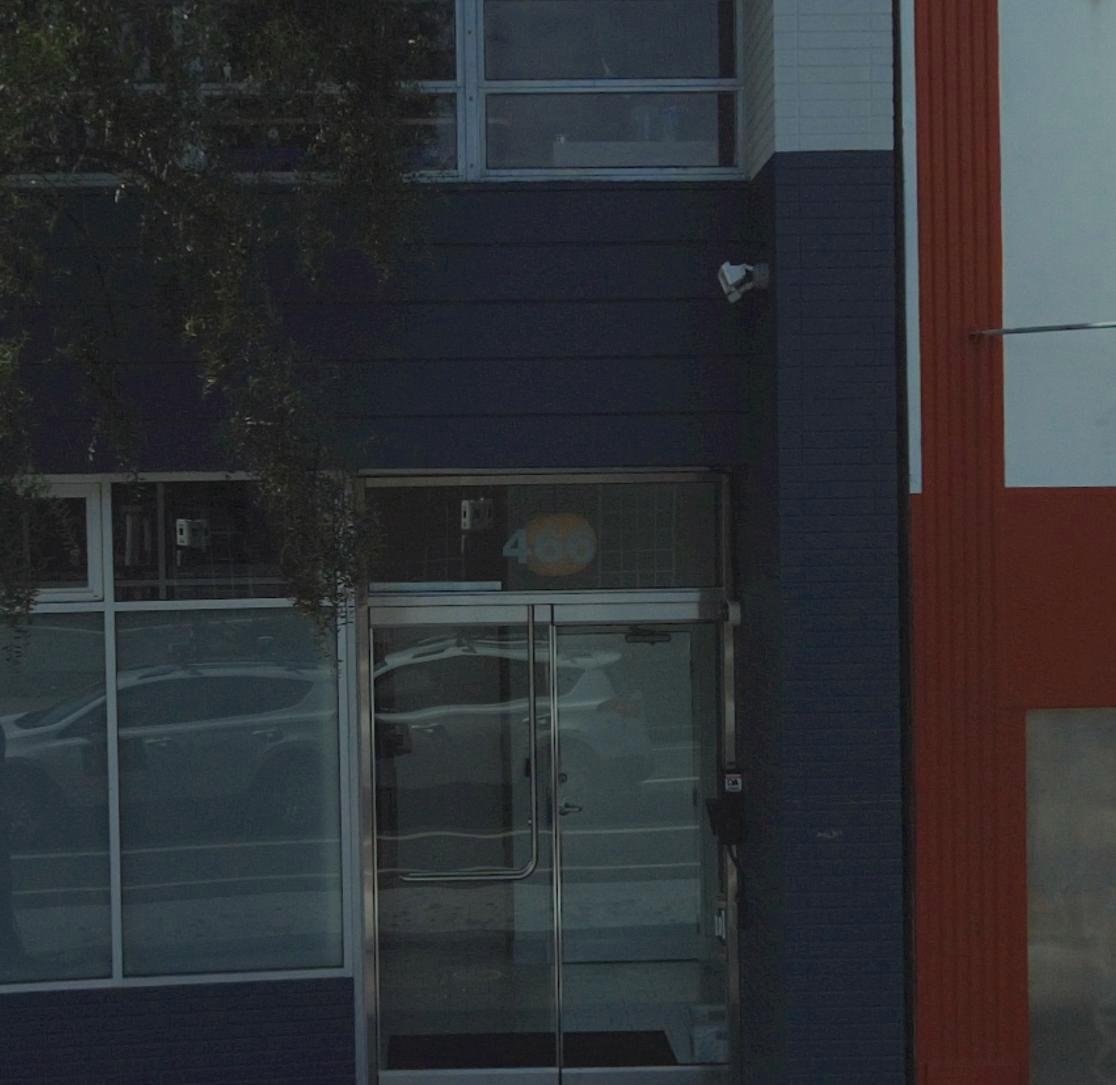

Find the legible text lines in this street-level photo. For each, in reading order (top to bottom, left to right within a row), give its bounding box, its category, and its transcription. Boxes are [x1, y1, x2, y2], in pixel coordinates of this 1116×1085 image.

[498, 522, 600, 569] StreetNumber: 466